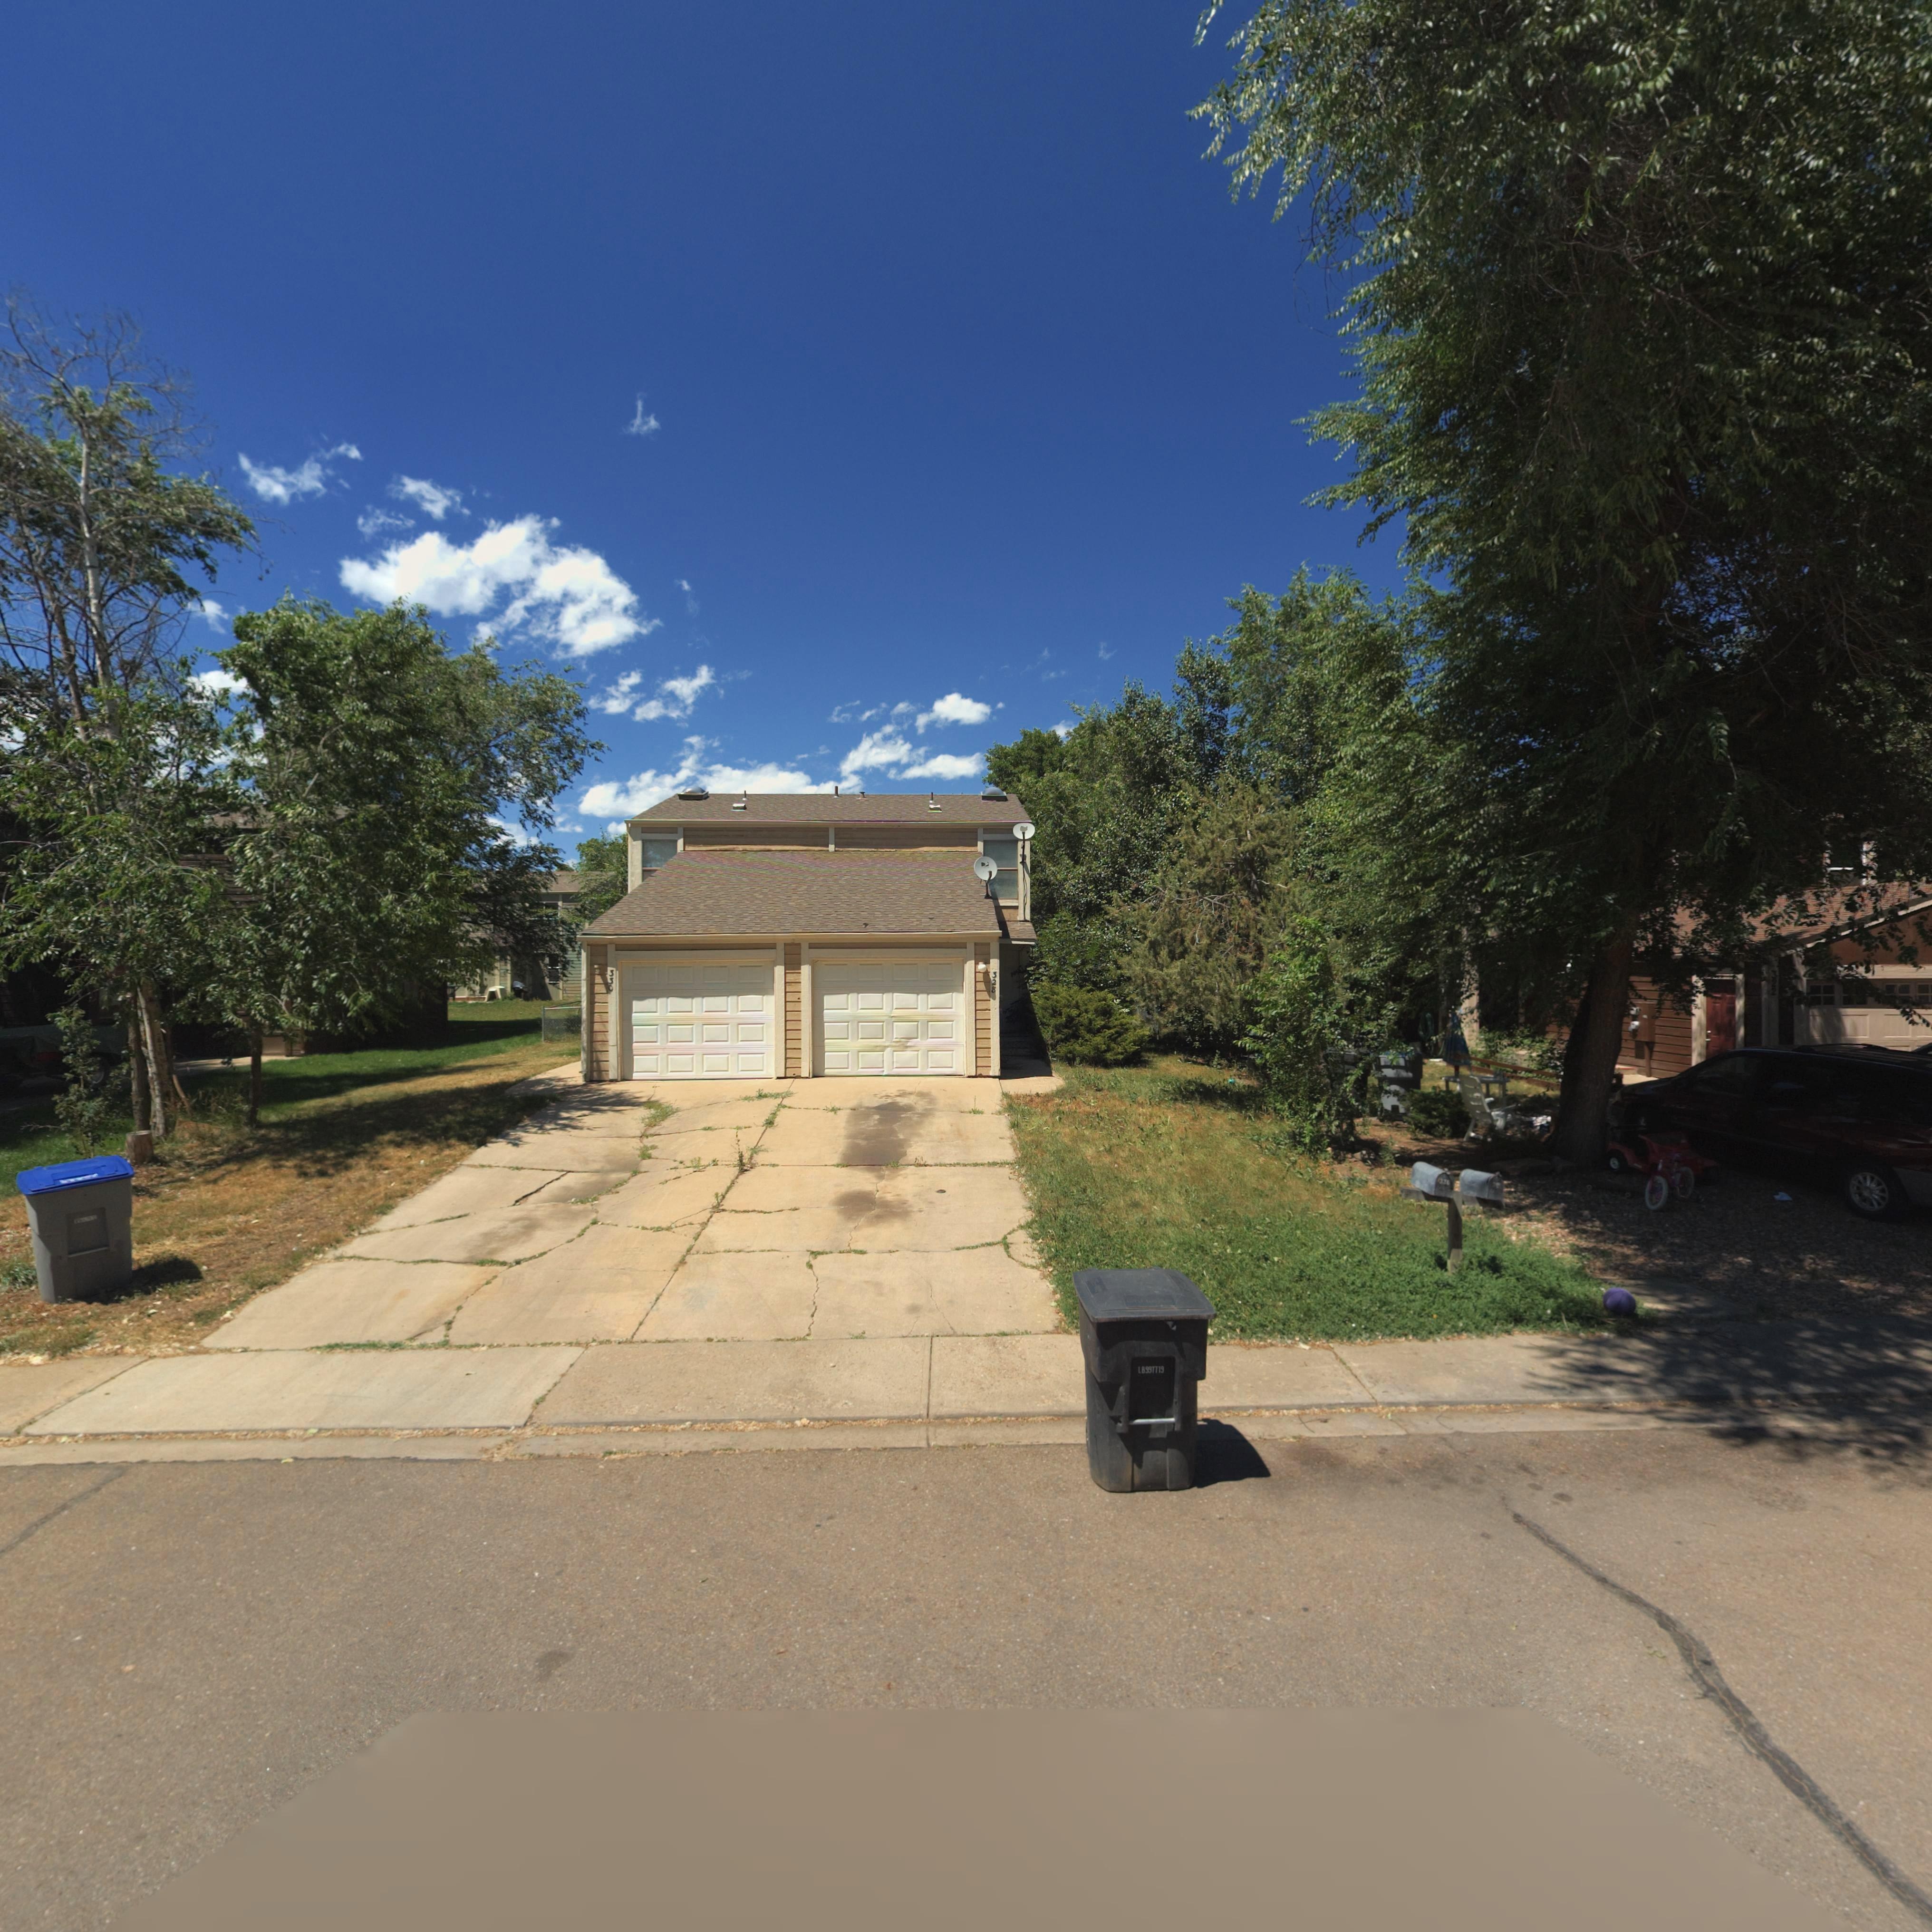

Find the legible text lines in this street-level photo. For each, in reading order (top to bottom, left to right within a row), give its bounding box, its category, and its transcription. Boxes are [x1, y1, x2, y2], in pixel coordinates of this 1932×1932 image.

[608, 968, 614, 992] StreetNumber: 330
[1769, 968, 1777, 996] StreetNumber: 322
[1437, 1177, 1450, 1187] StreetNumber: 33*